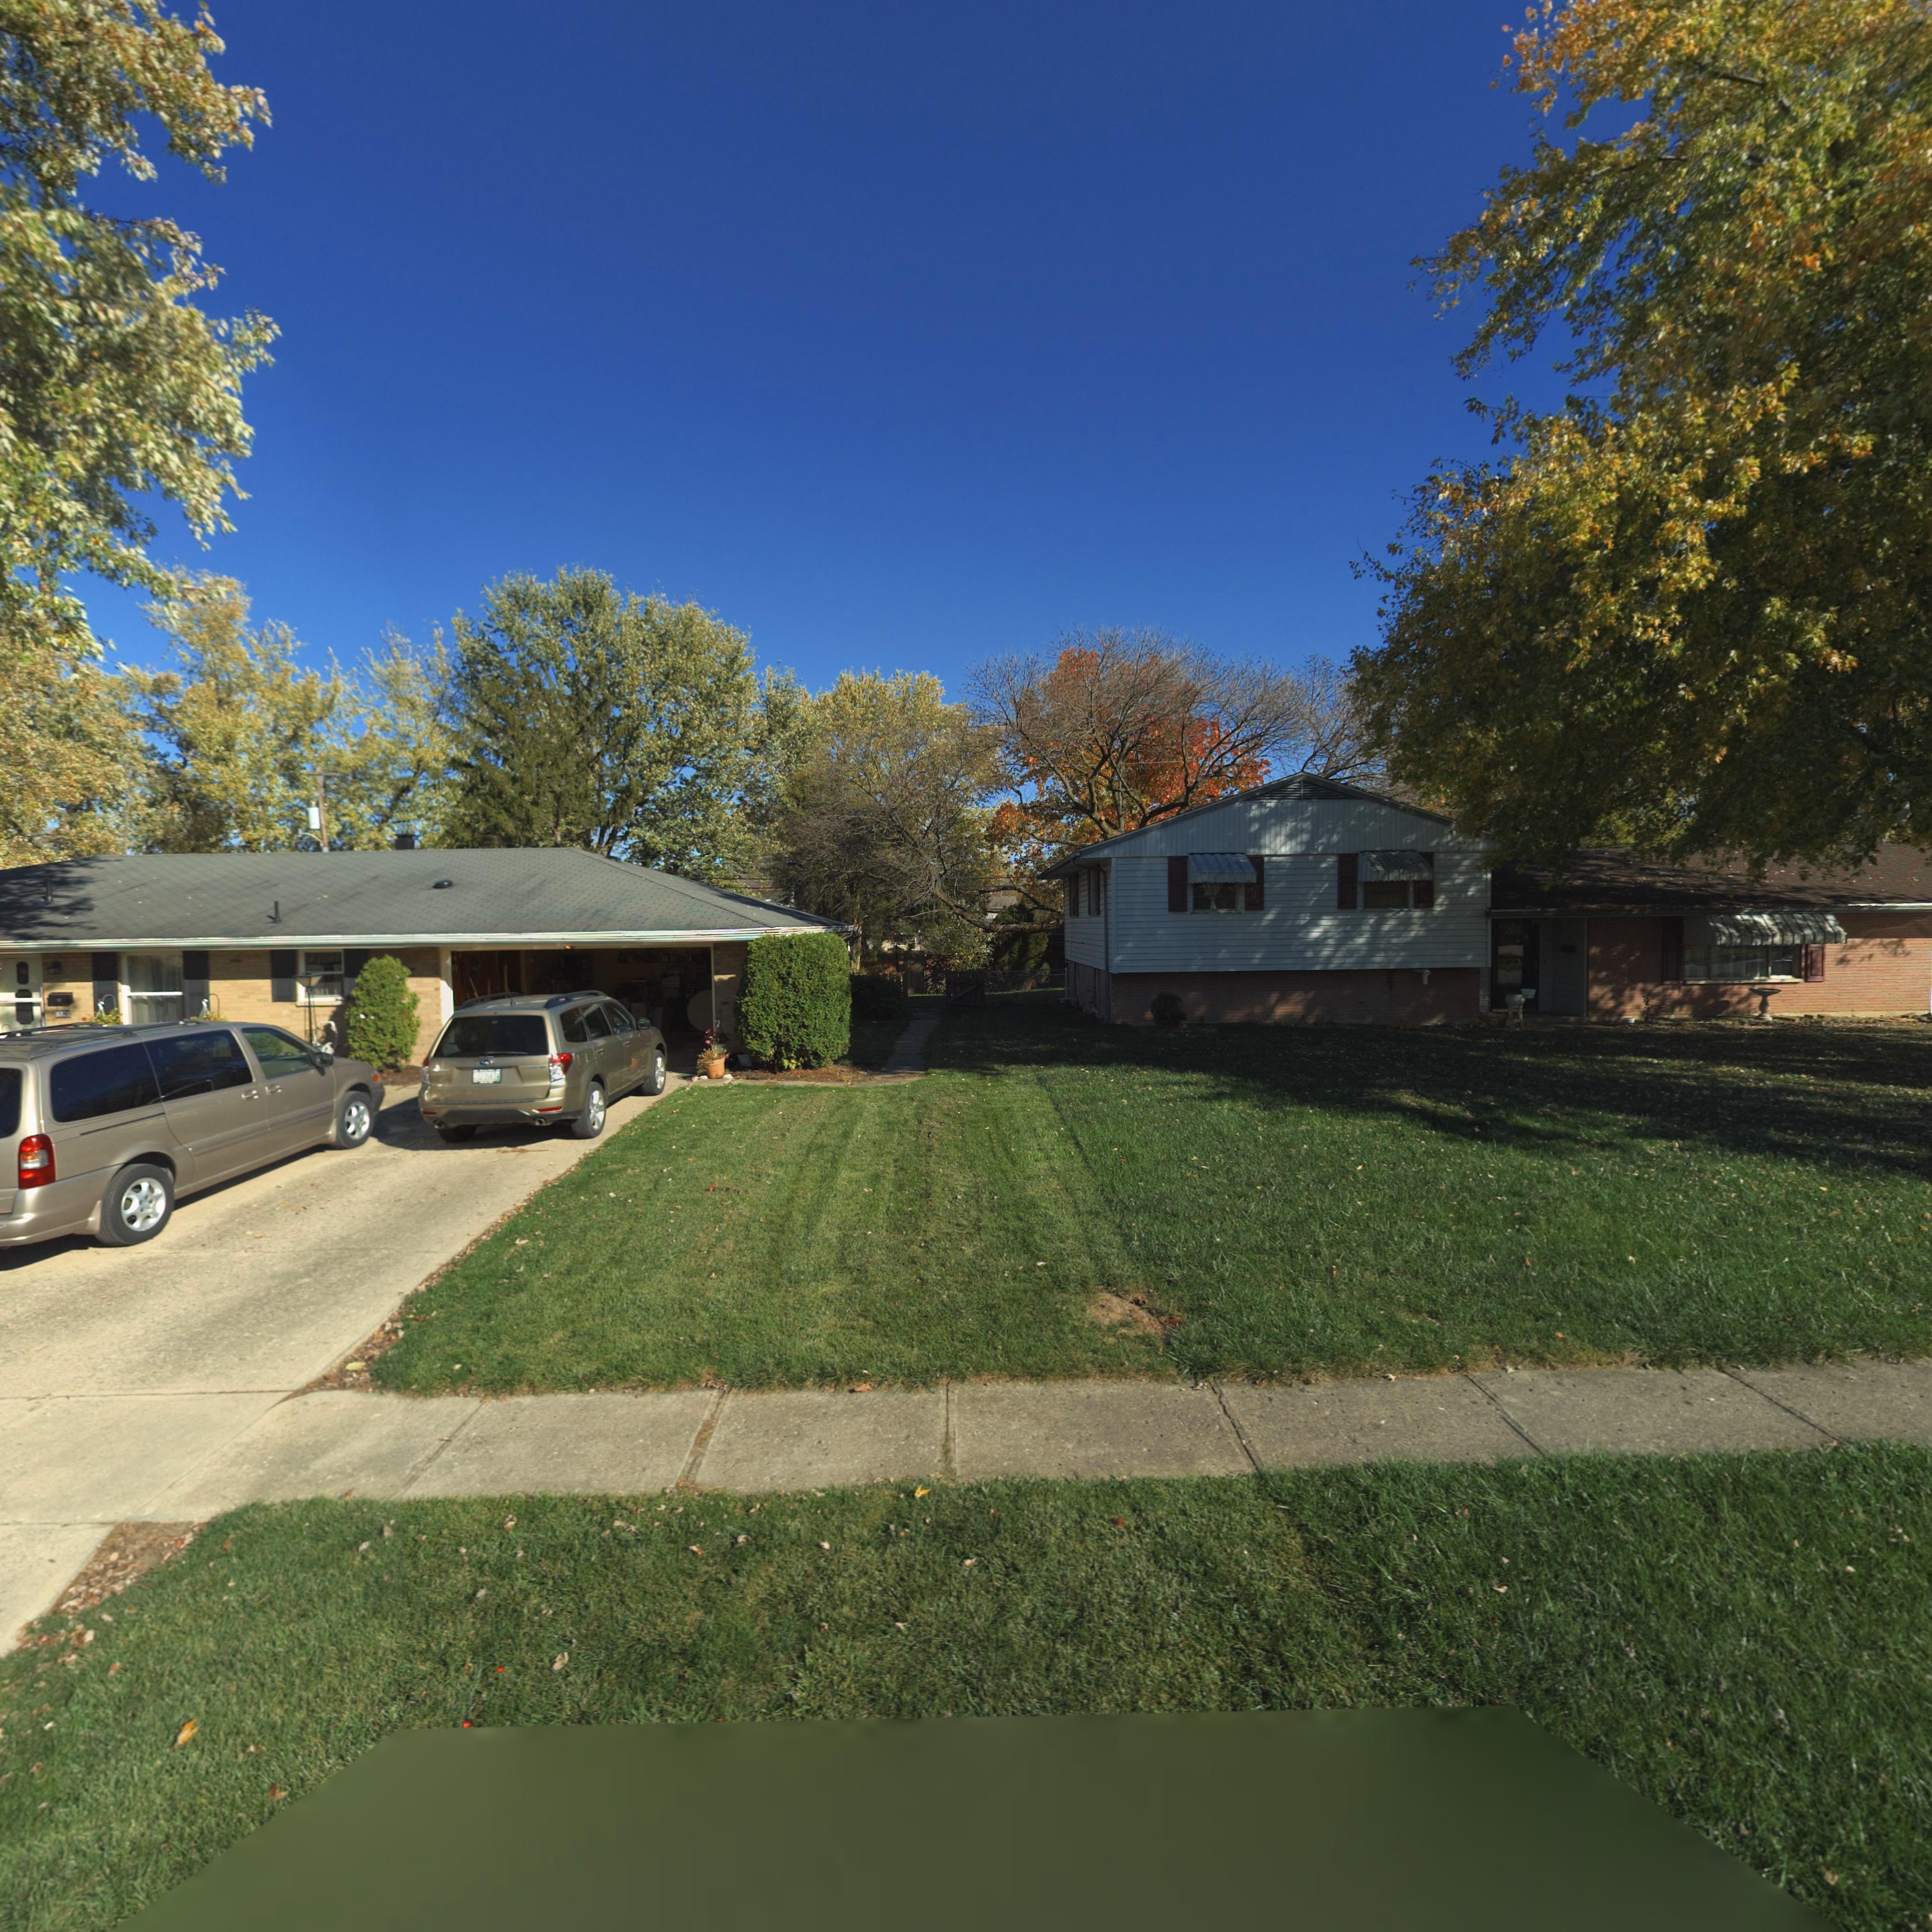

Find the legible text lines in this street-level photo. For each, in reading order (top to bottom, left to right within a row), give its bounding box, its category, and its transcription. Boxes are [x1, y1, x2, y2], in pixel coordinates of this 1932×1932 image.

[57, 1011, 69, 1016] StreetNumber: 6***